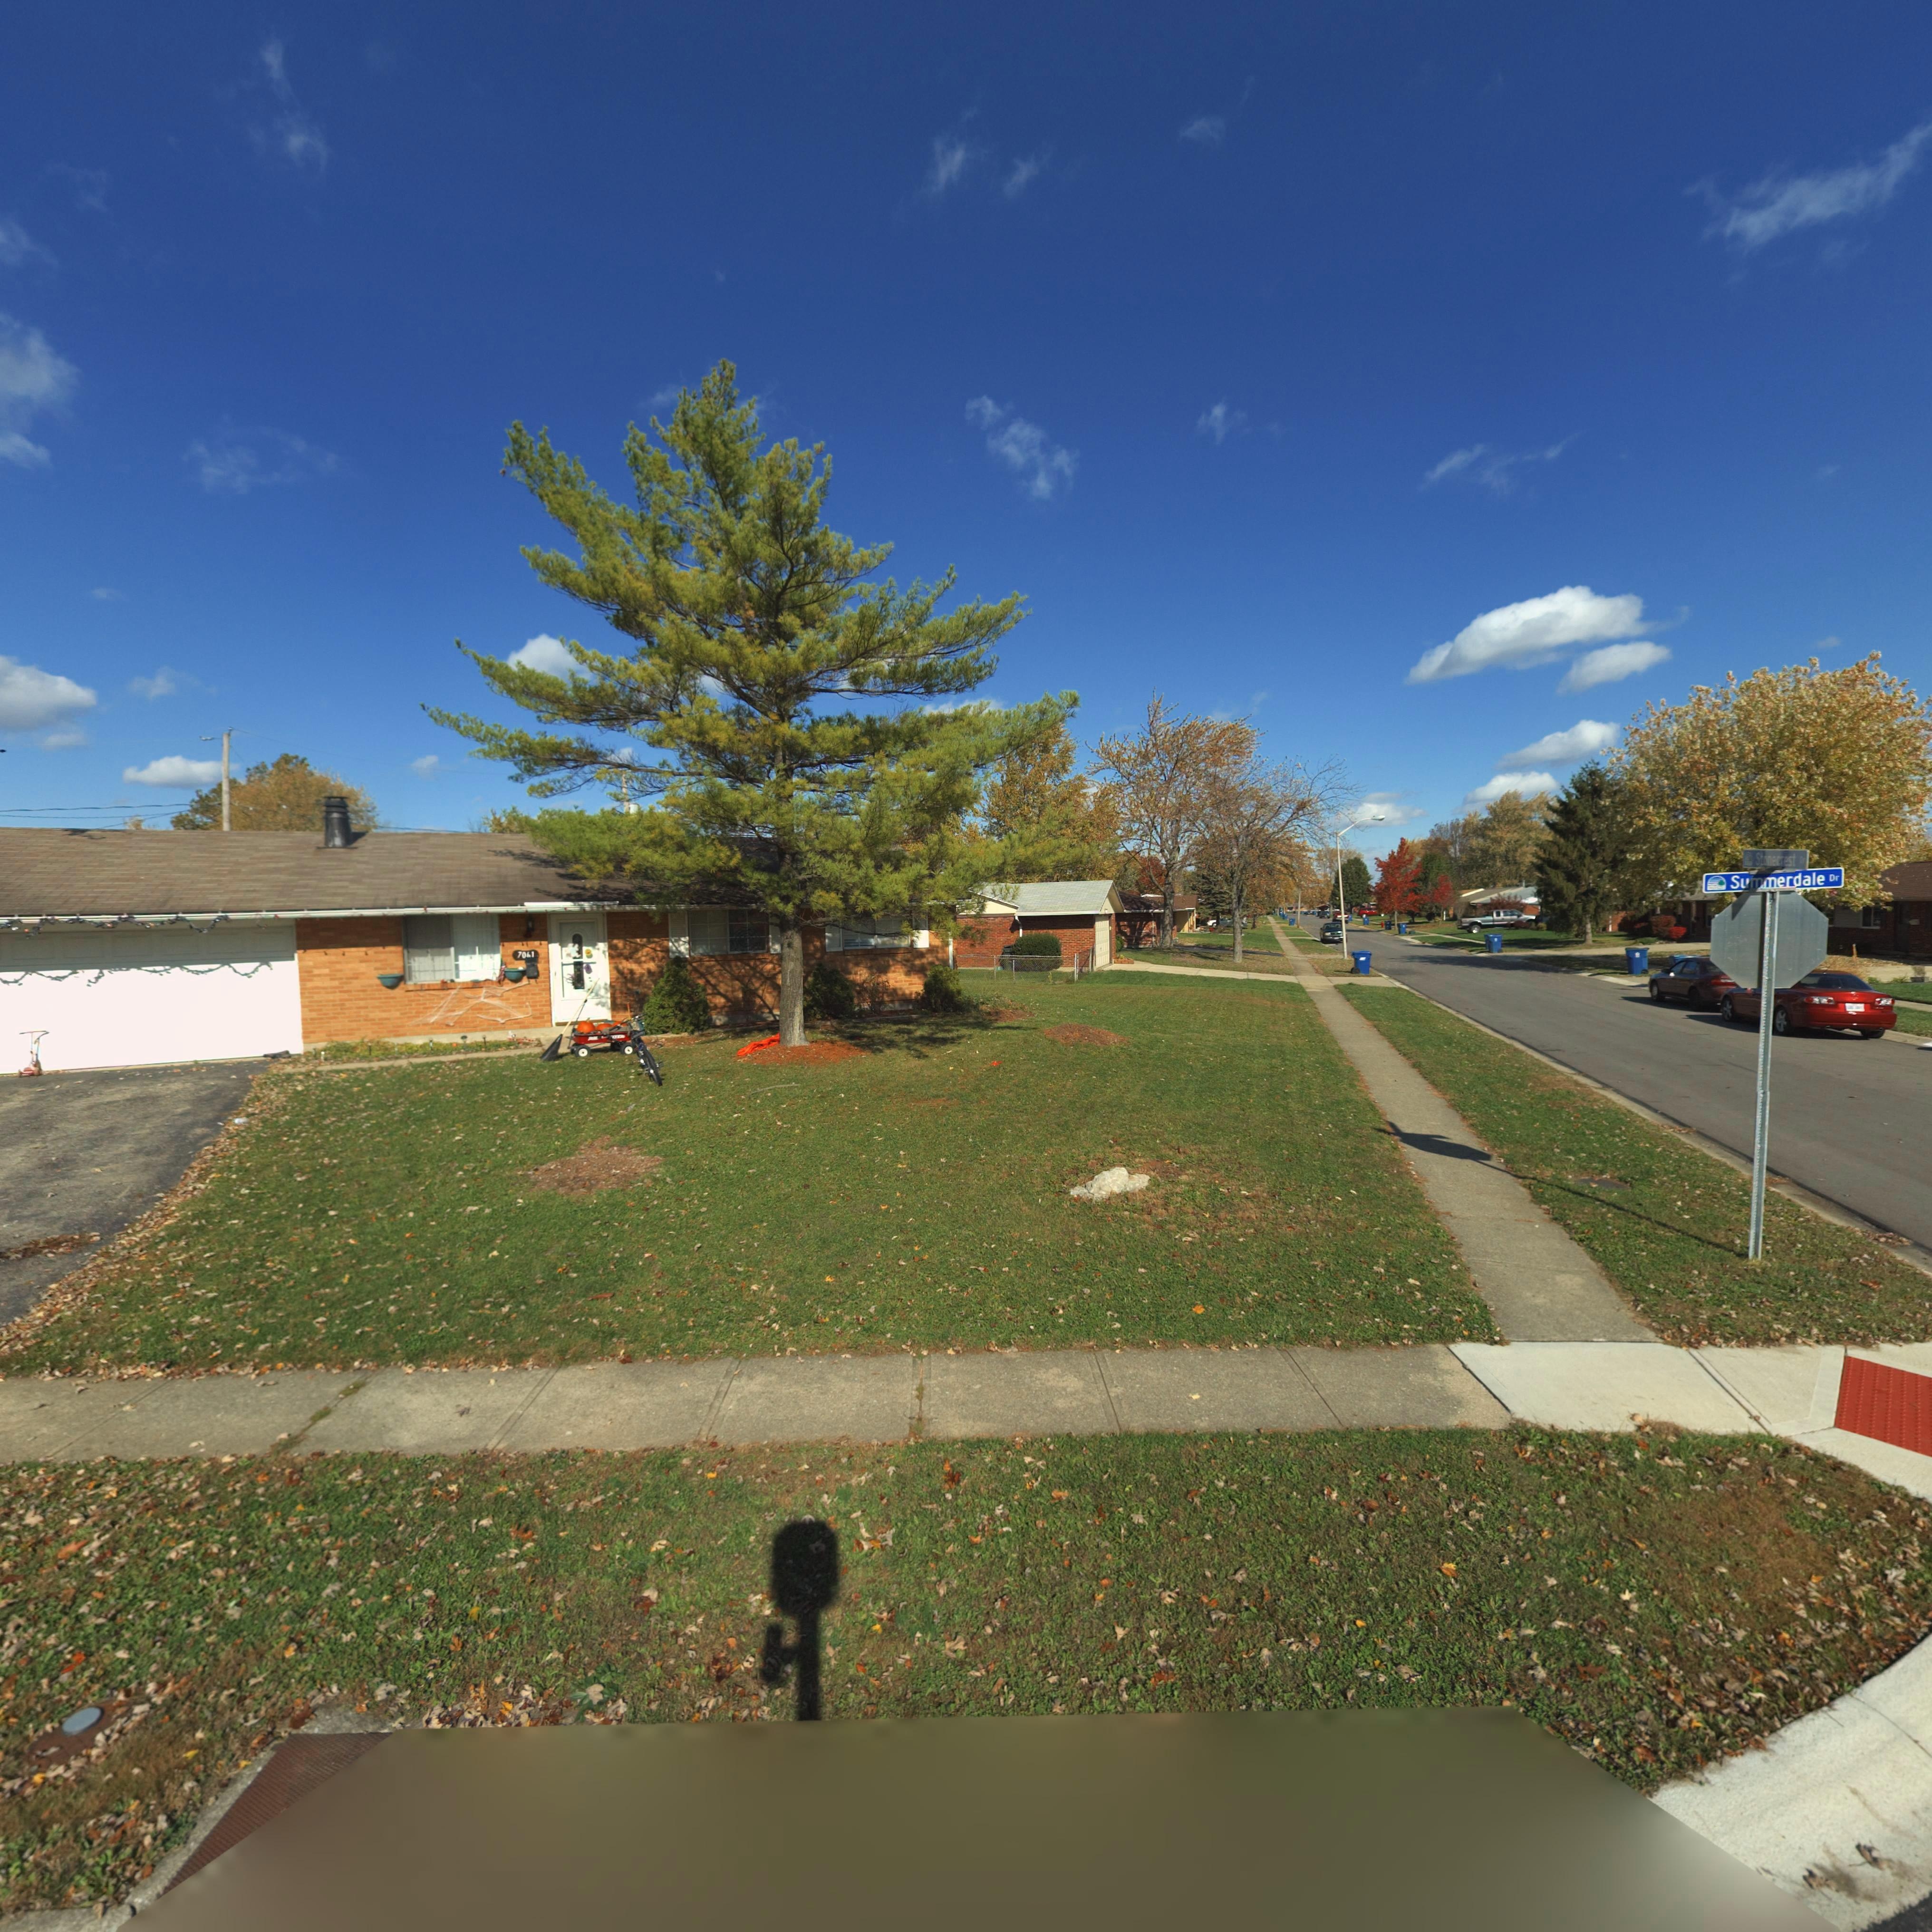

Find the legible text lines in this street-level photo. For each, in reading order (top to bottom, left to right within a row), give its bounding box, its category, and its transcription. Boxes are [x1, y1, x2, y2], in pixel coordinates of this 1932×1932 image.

[516, 949, 536, 959] StreetNumber: 70**